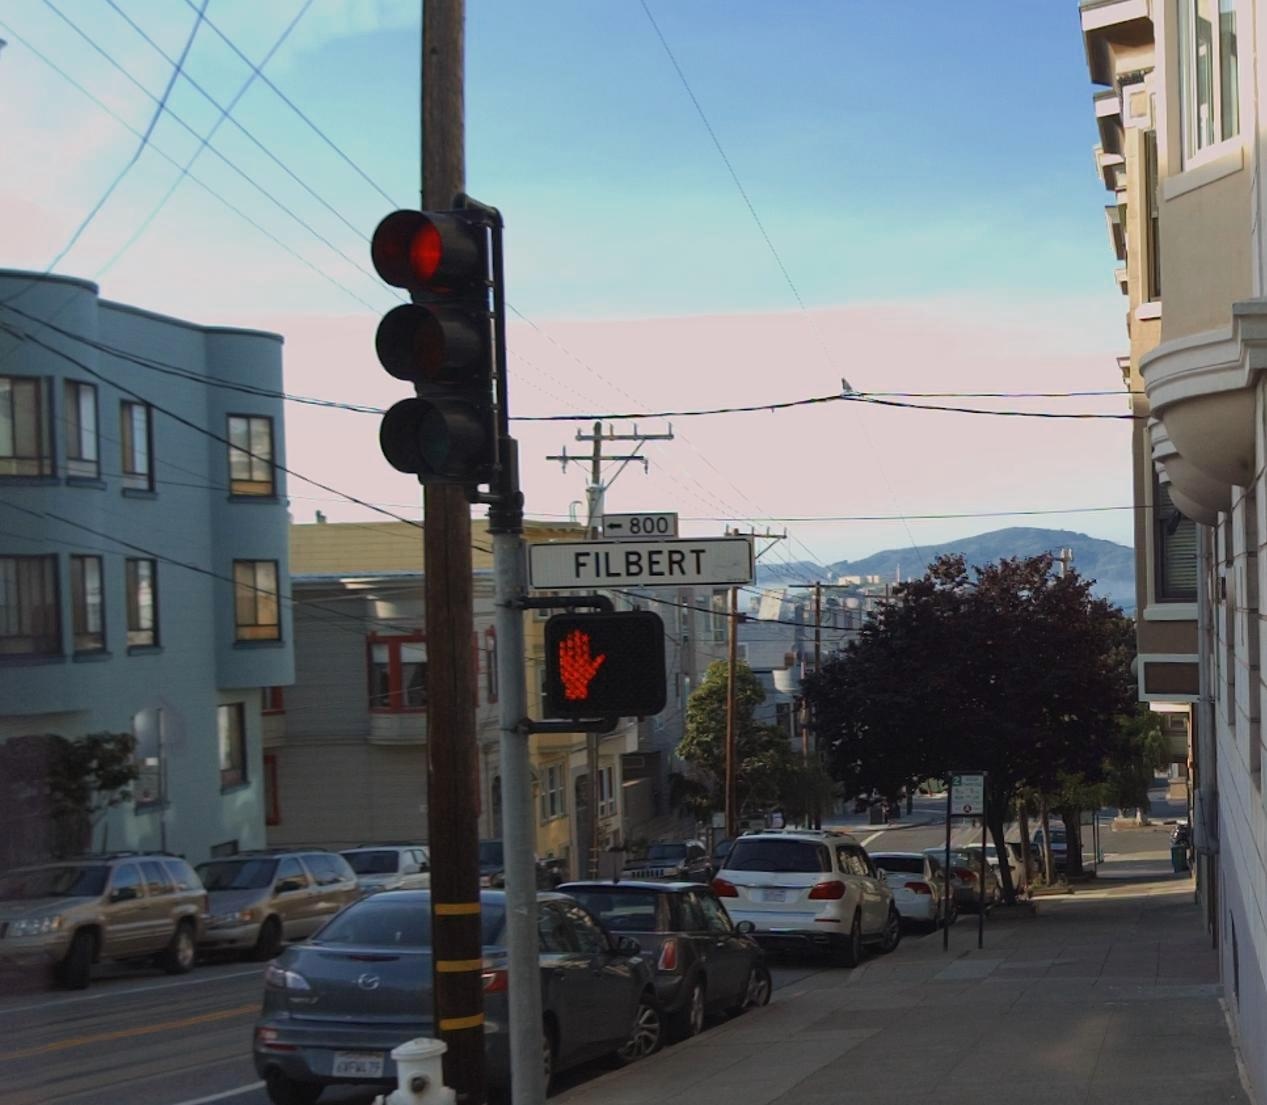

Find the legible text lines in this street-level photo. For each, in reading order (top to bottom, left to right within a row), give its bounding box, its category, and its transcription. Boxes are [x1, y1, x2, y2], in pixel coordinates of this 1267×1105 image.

[603, 514, 671, 536] StreetNumberRange: <-800
[571, 545, 710, 581] StreetName: FILBERT